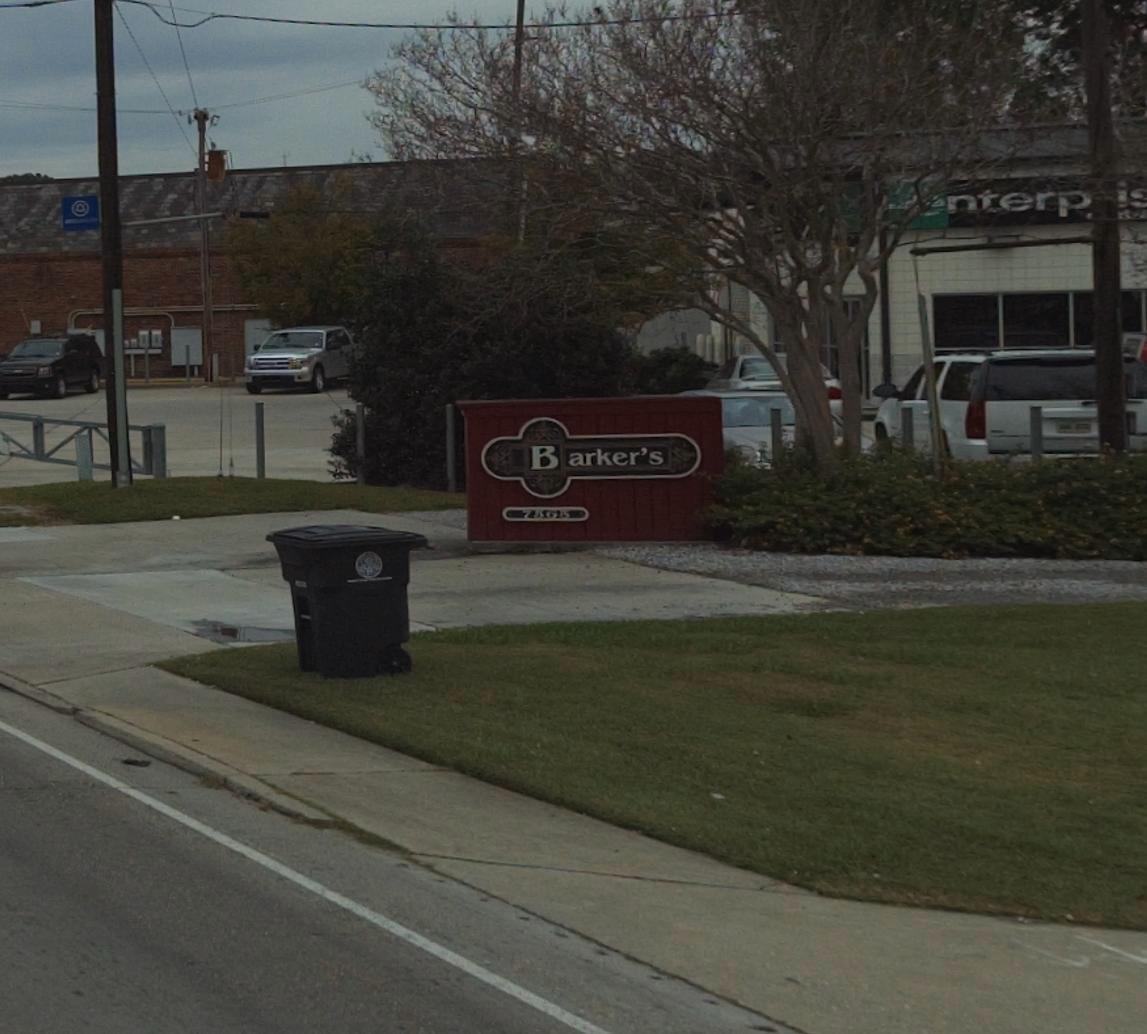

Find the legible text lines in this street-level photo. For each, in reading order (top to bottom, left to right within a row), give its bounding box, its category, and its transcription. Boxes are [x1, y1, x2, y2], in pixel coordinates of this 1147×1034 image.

[904, 187, 1146, 215] BusinessName: *nterp*i*
[529, 443, 664, 469] BusinessName: Barker's
[521, 508, 571, 519] StreetNumber: 7565